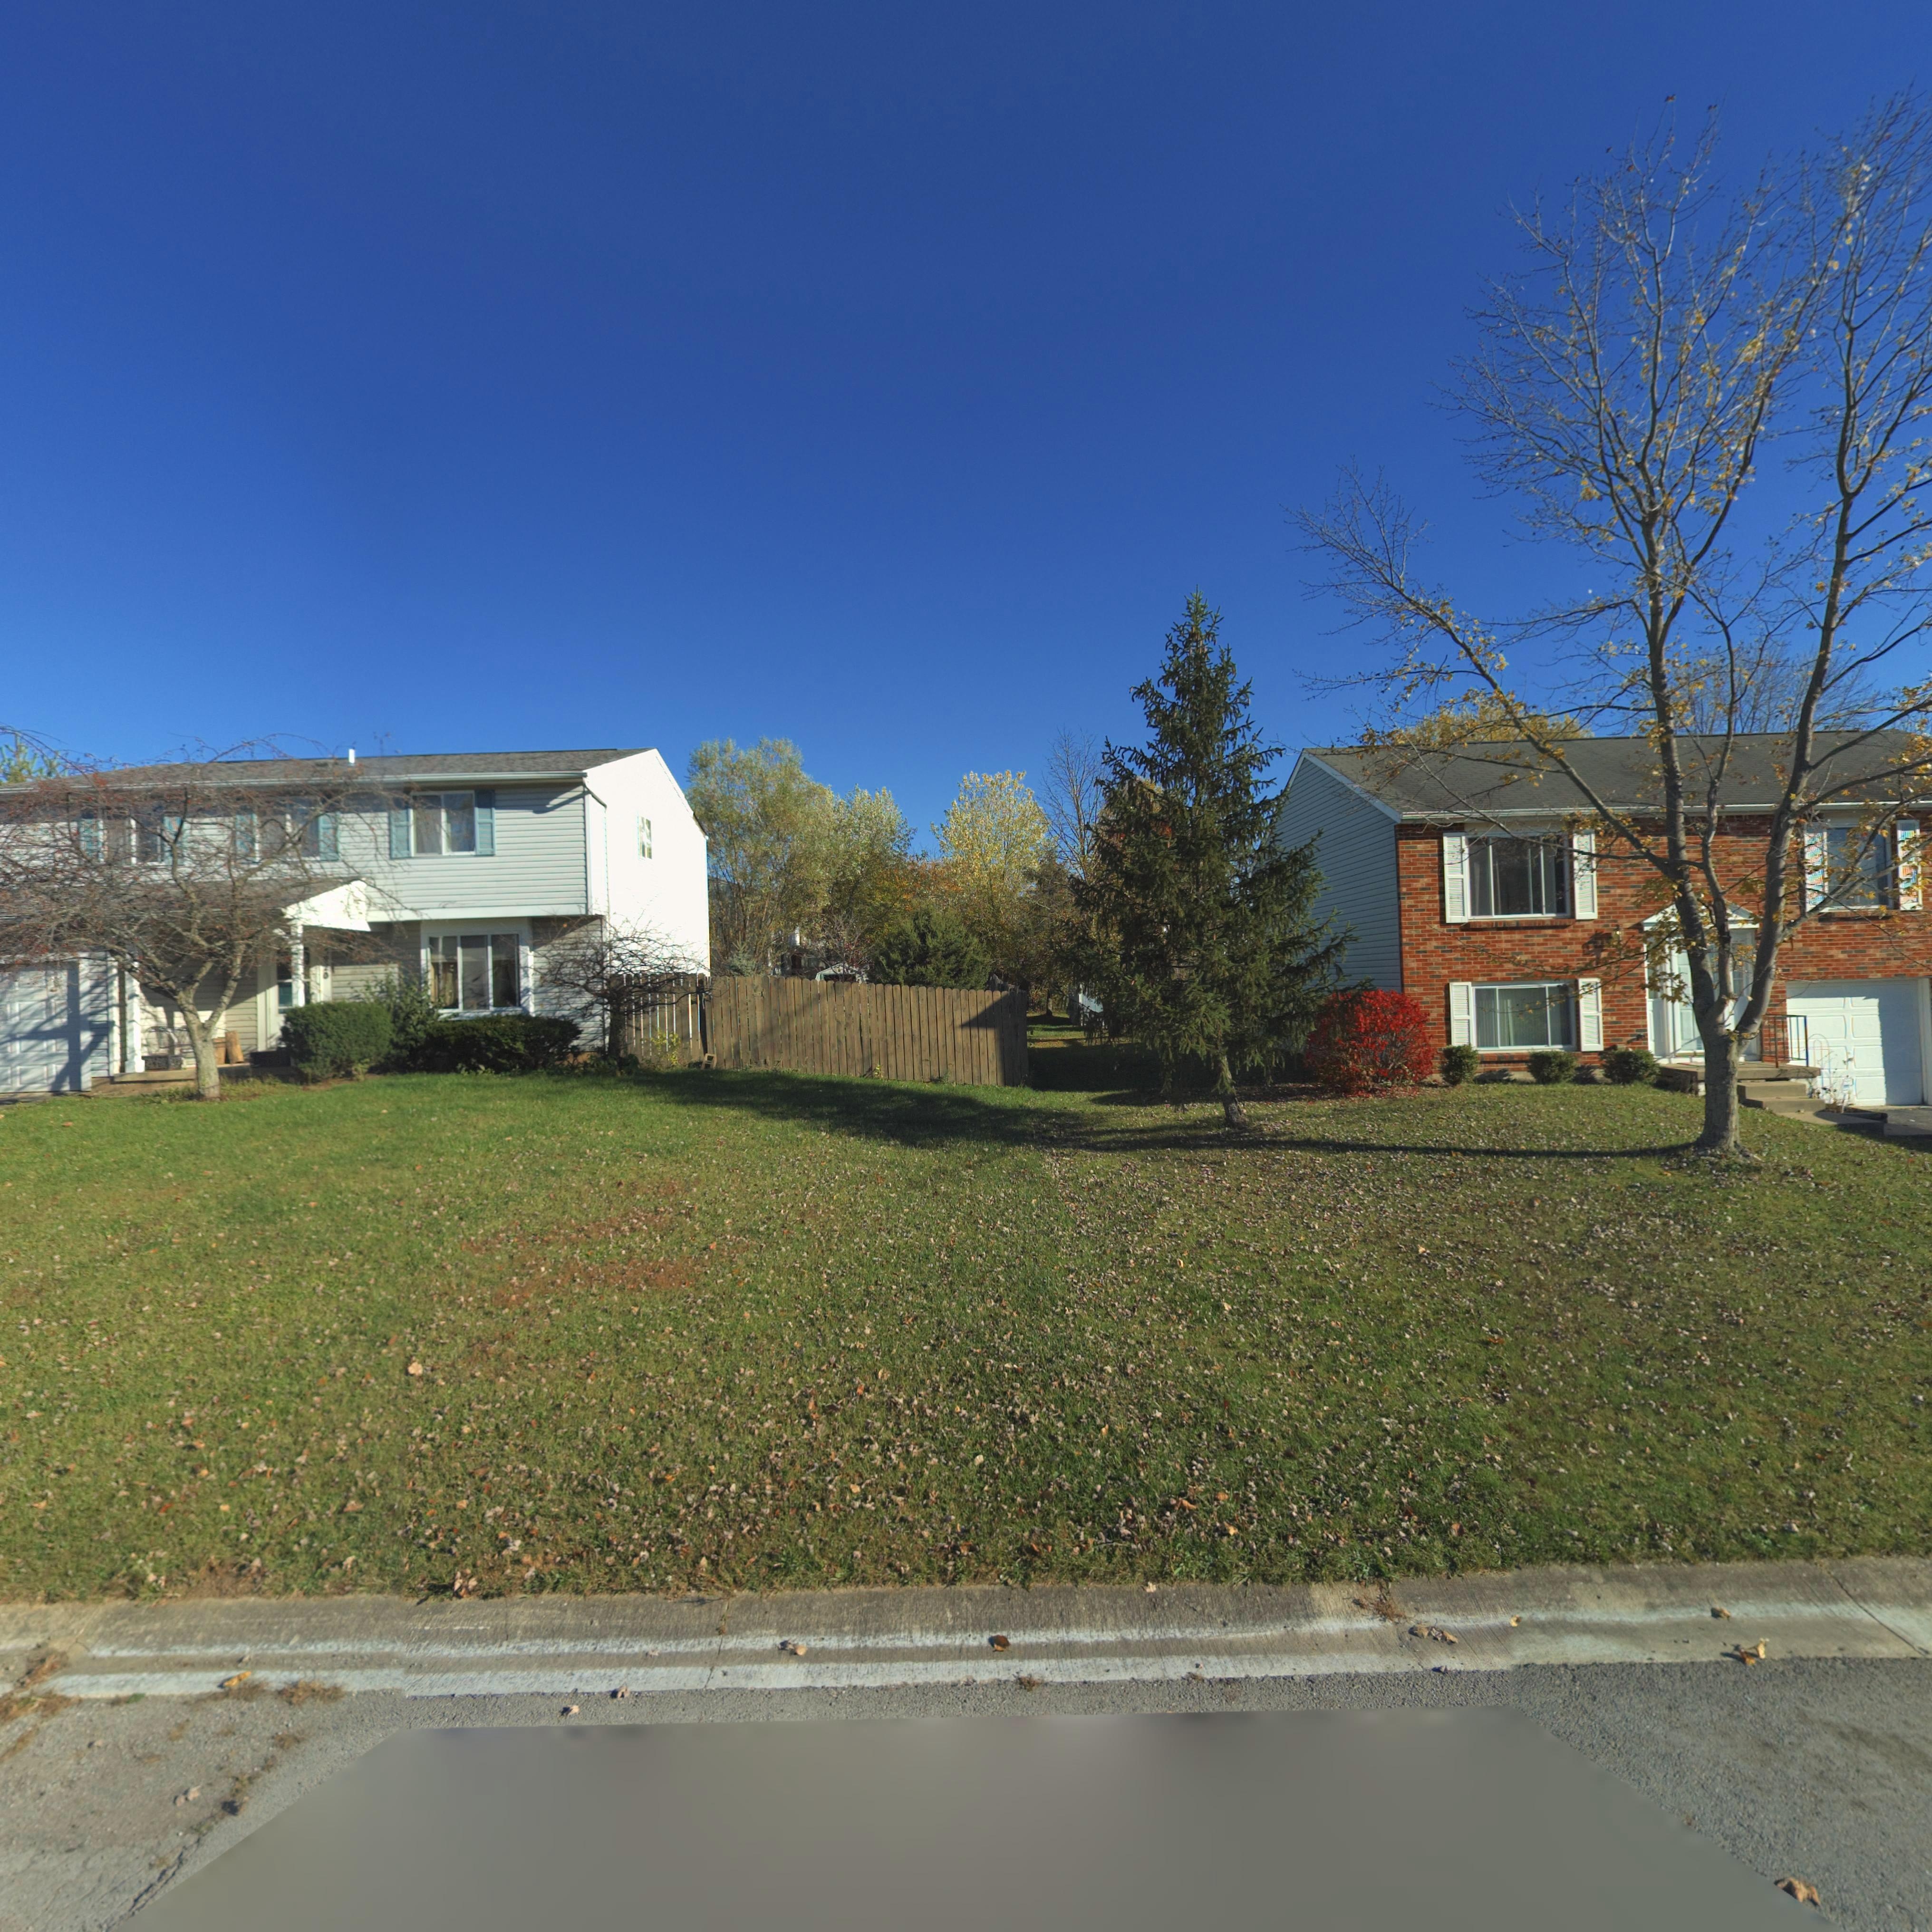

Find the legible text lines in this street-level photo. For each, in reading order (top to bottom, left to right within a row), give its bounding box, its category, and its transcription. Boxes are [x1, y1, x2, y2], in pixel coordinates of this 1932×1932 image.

[322, 971, 330, 980] StreetNumber: 0